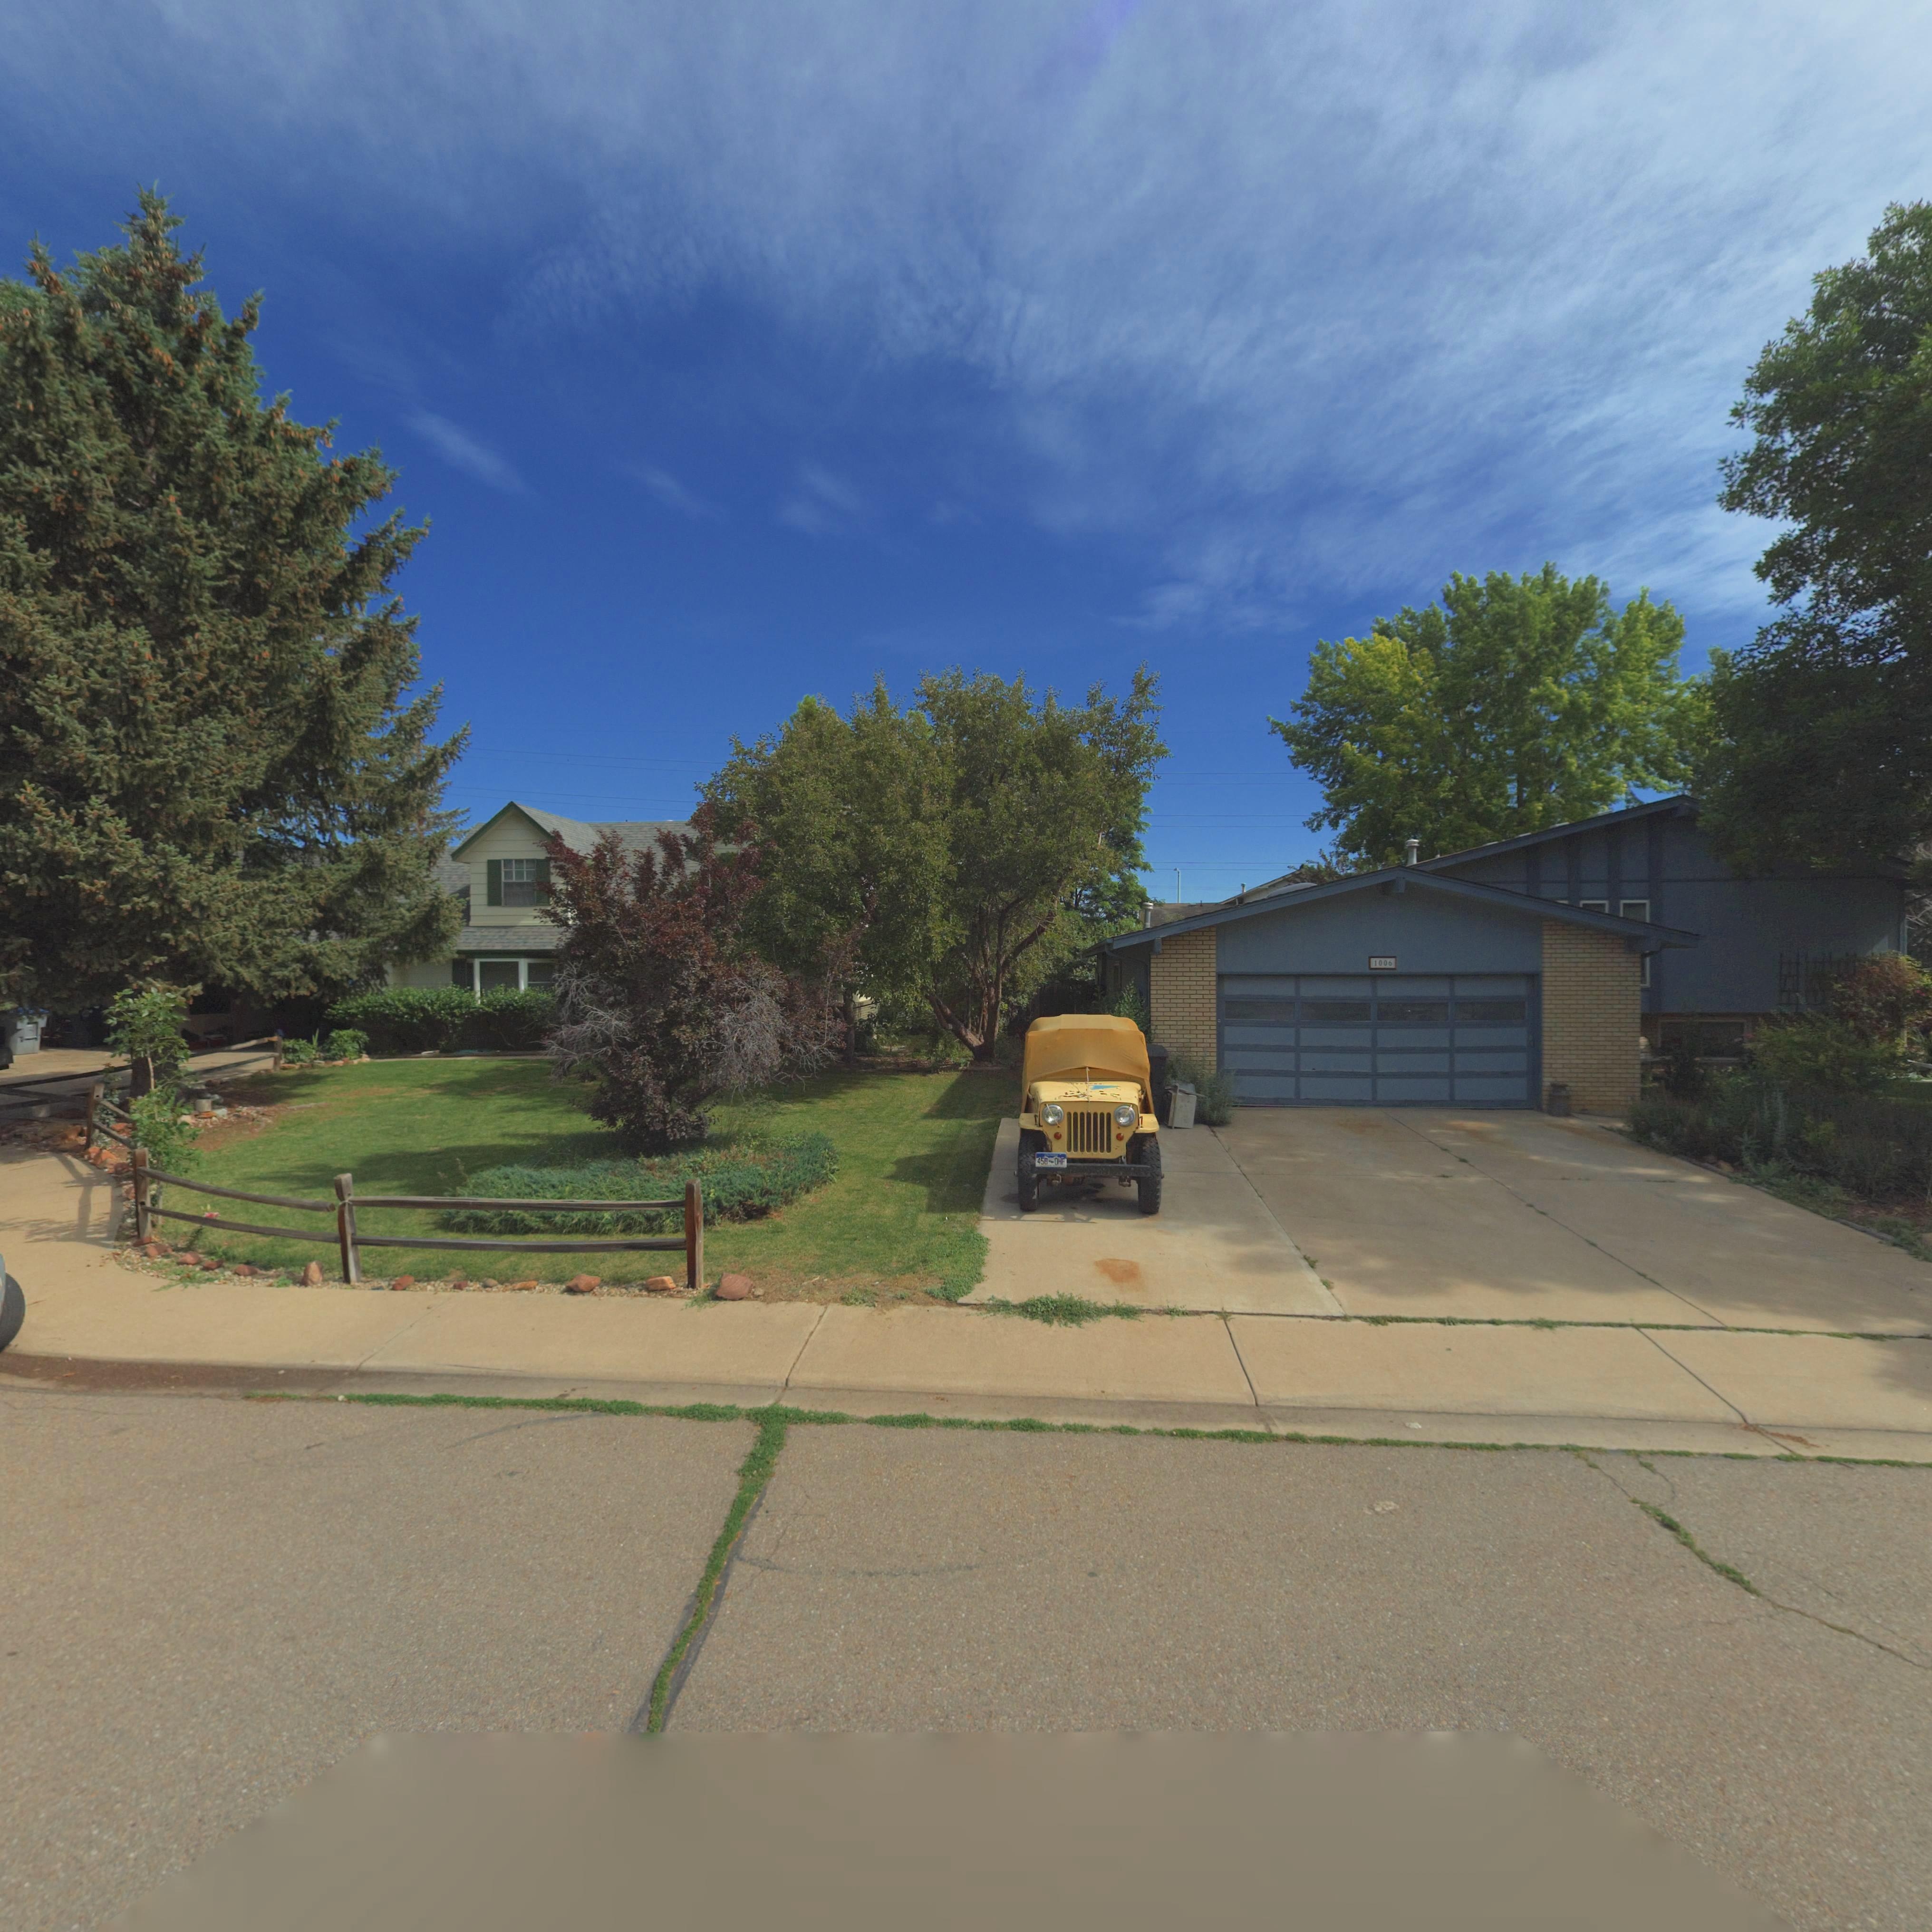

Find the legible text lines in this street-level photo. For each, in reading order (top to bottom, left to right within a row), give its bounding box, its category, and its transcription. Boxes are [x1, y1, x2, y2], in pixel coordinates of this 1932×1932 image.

[1373, 959, 1392, 966] StreetNumber: 1006